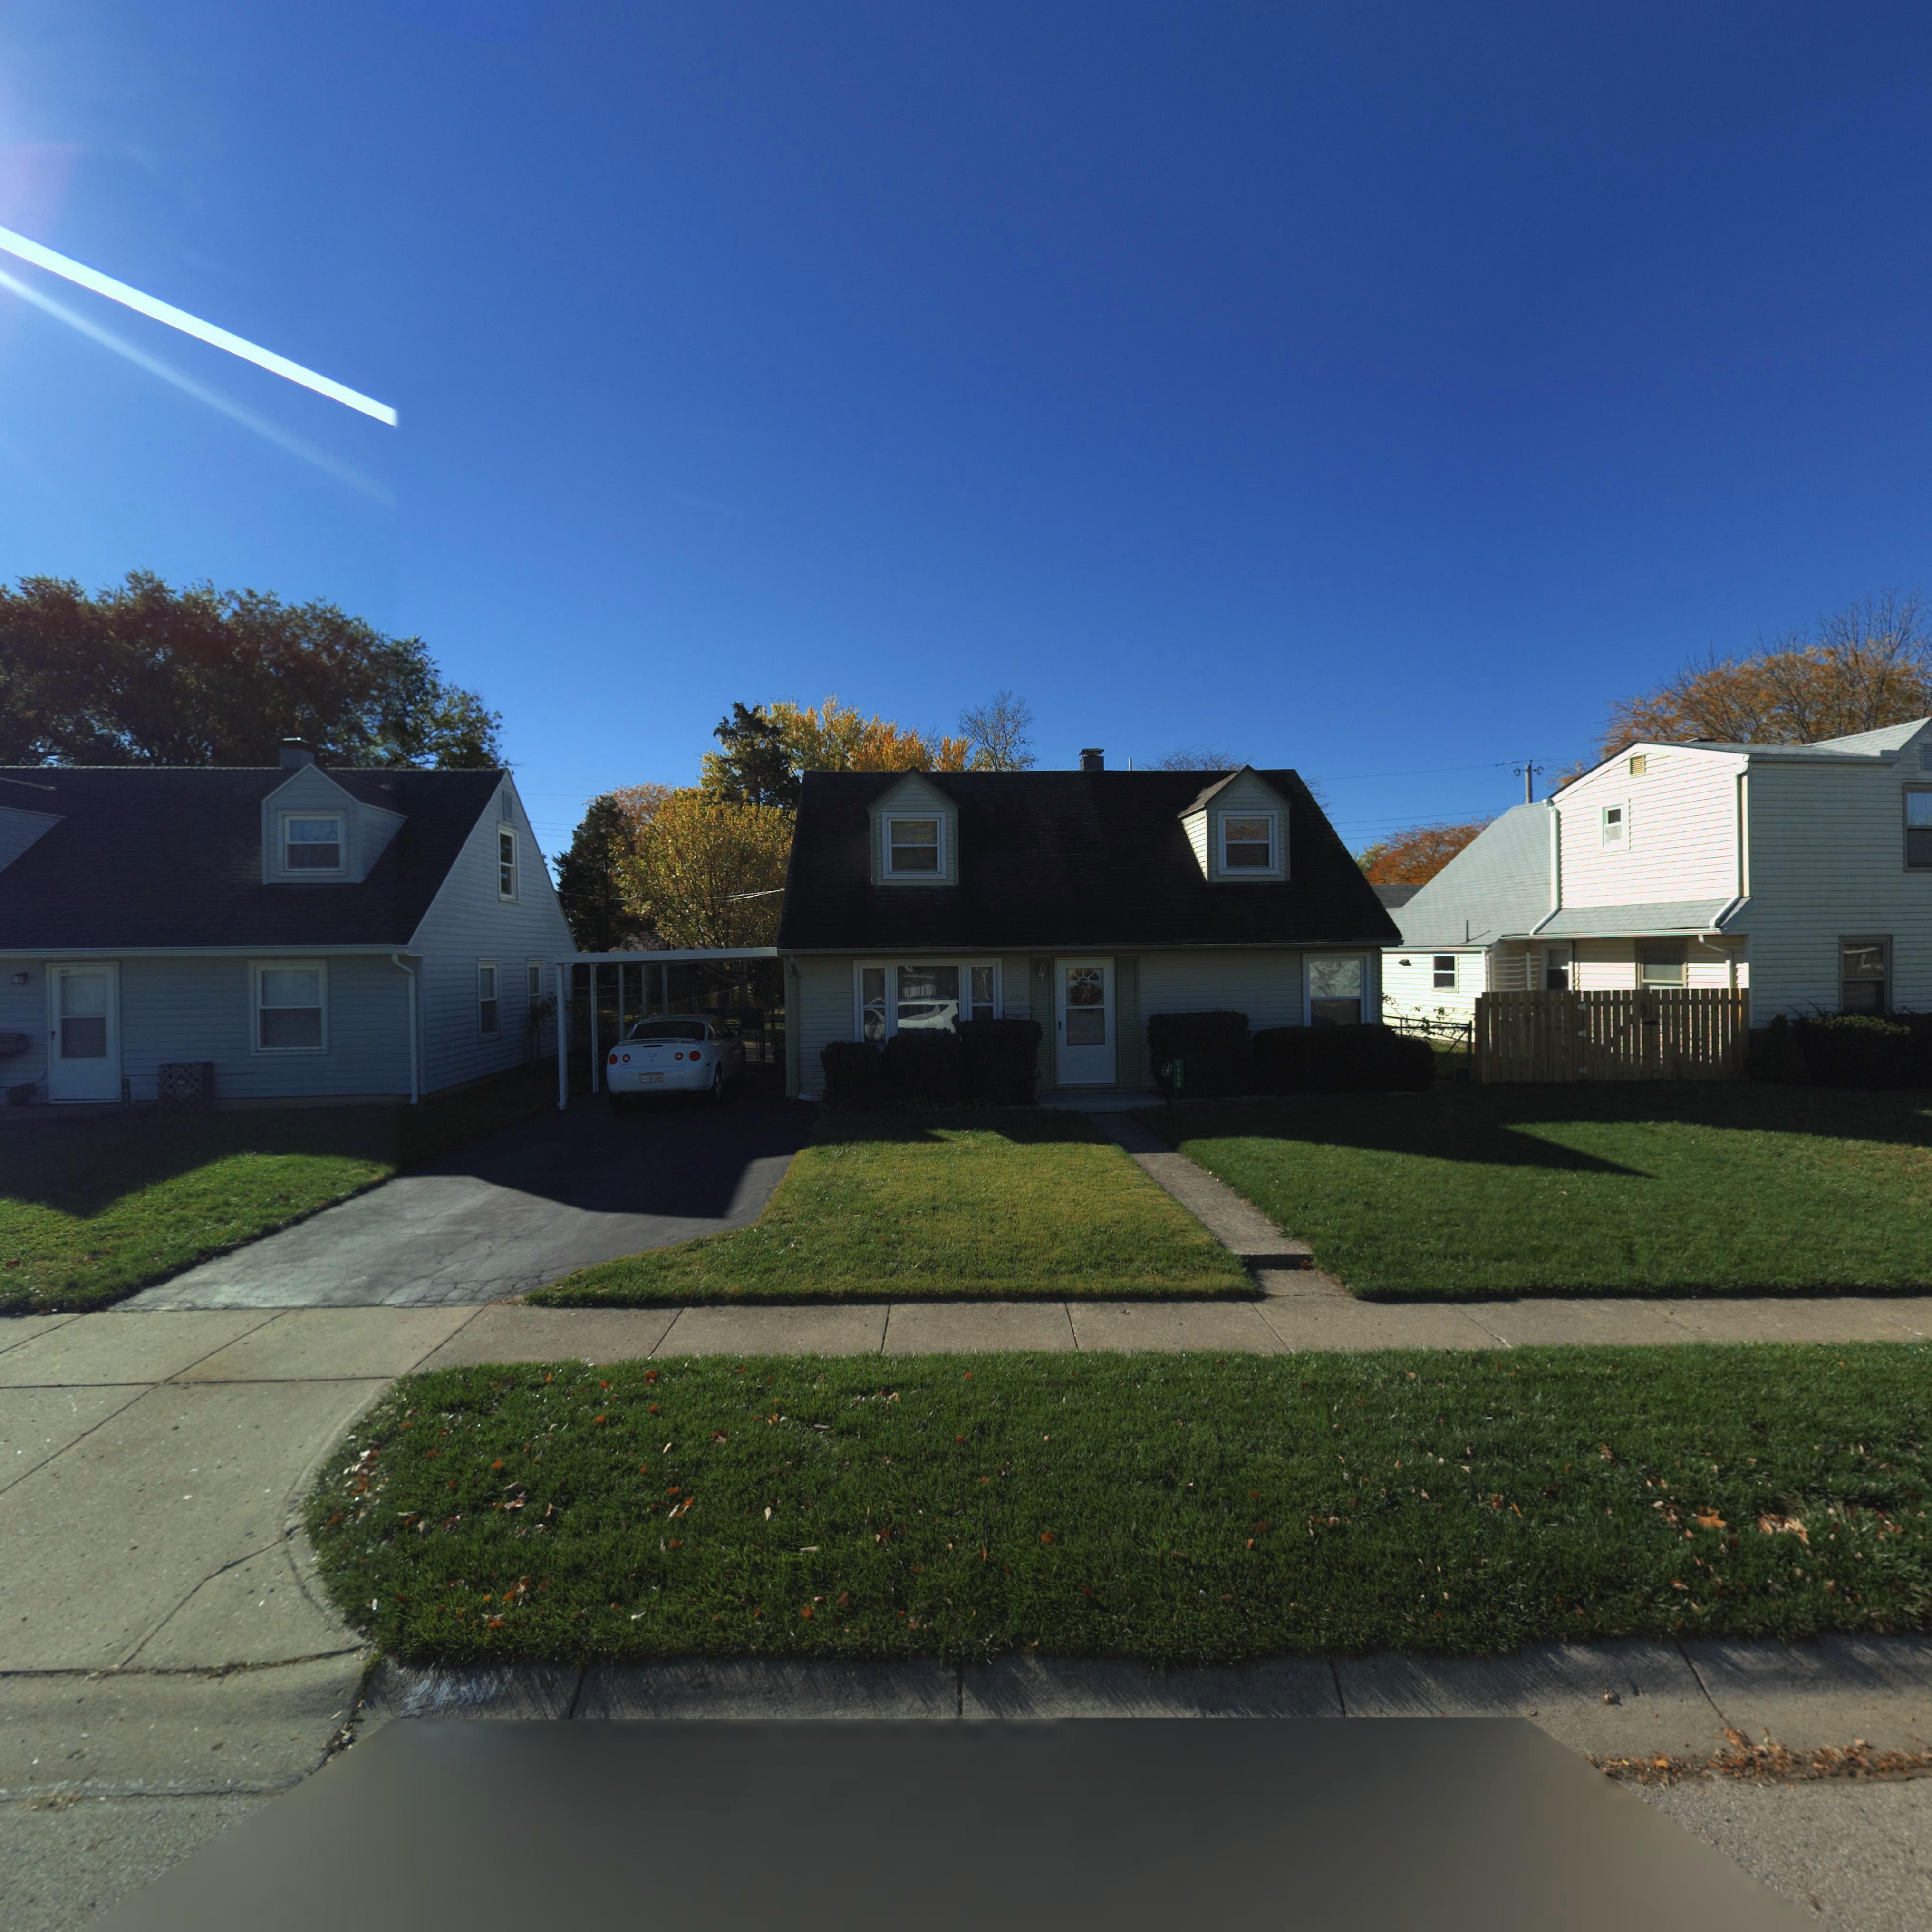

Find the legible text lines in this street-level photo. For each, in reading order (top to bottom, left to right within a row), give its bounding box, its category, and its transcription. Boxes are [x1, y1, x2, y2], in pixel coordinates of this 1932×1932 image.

[1009, 994, 1024, 1001] StreetNumber: 2460